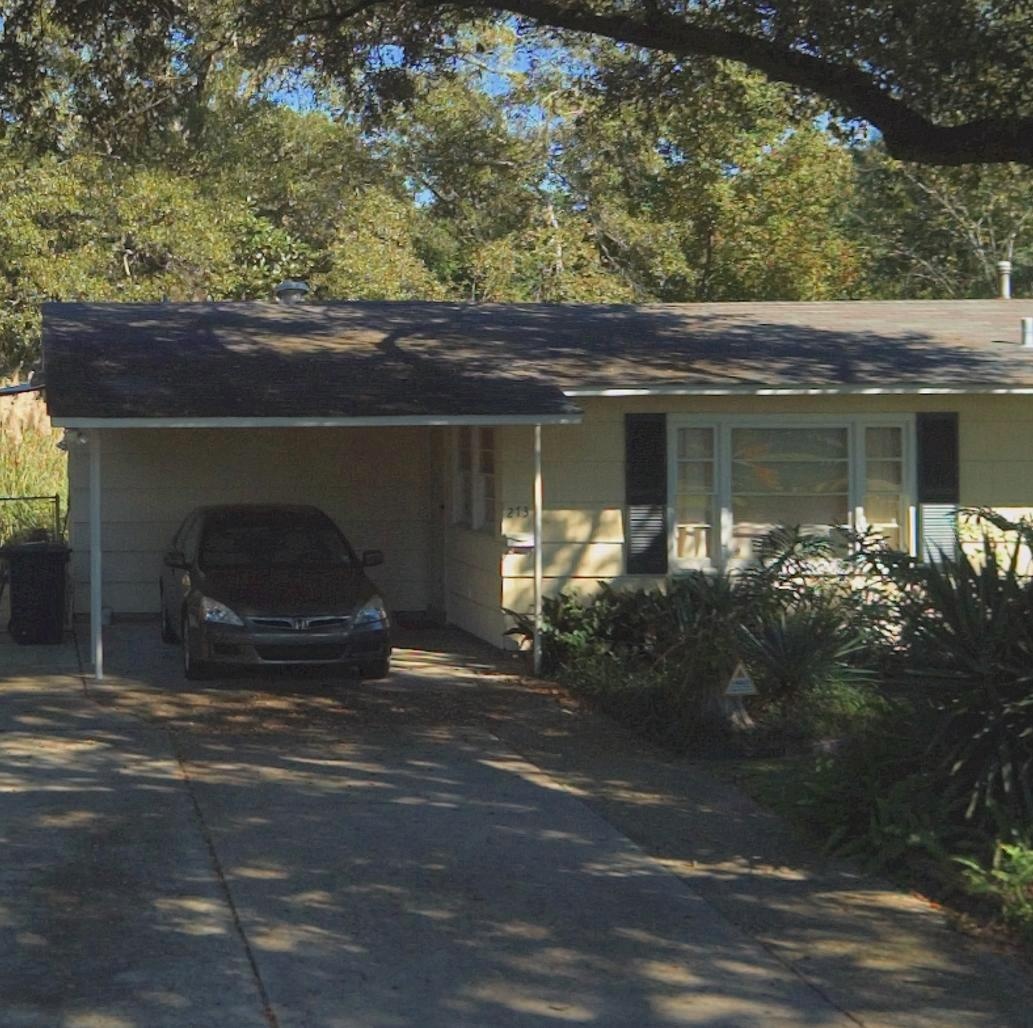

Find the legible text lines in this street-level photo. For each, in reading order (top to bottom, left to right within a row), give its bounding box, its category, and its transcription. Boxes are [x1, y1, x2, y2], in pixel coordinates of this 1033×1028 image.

[505, 505, 530, 519] StreetNumber: 213